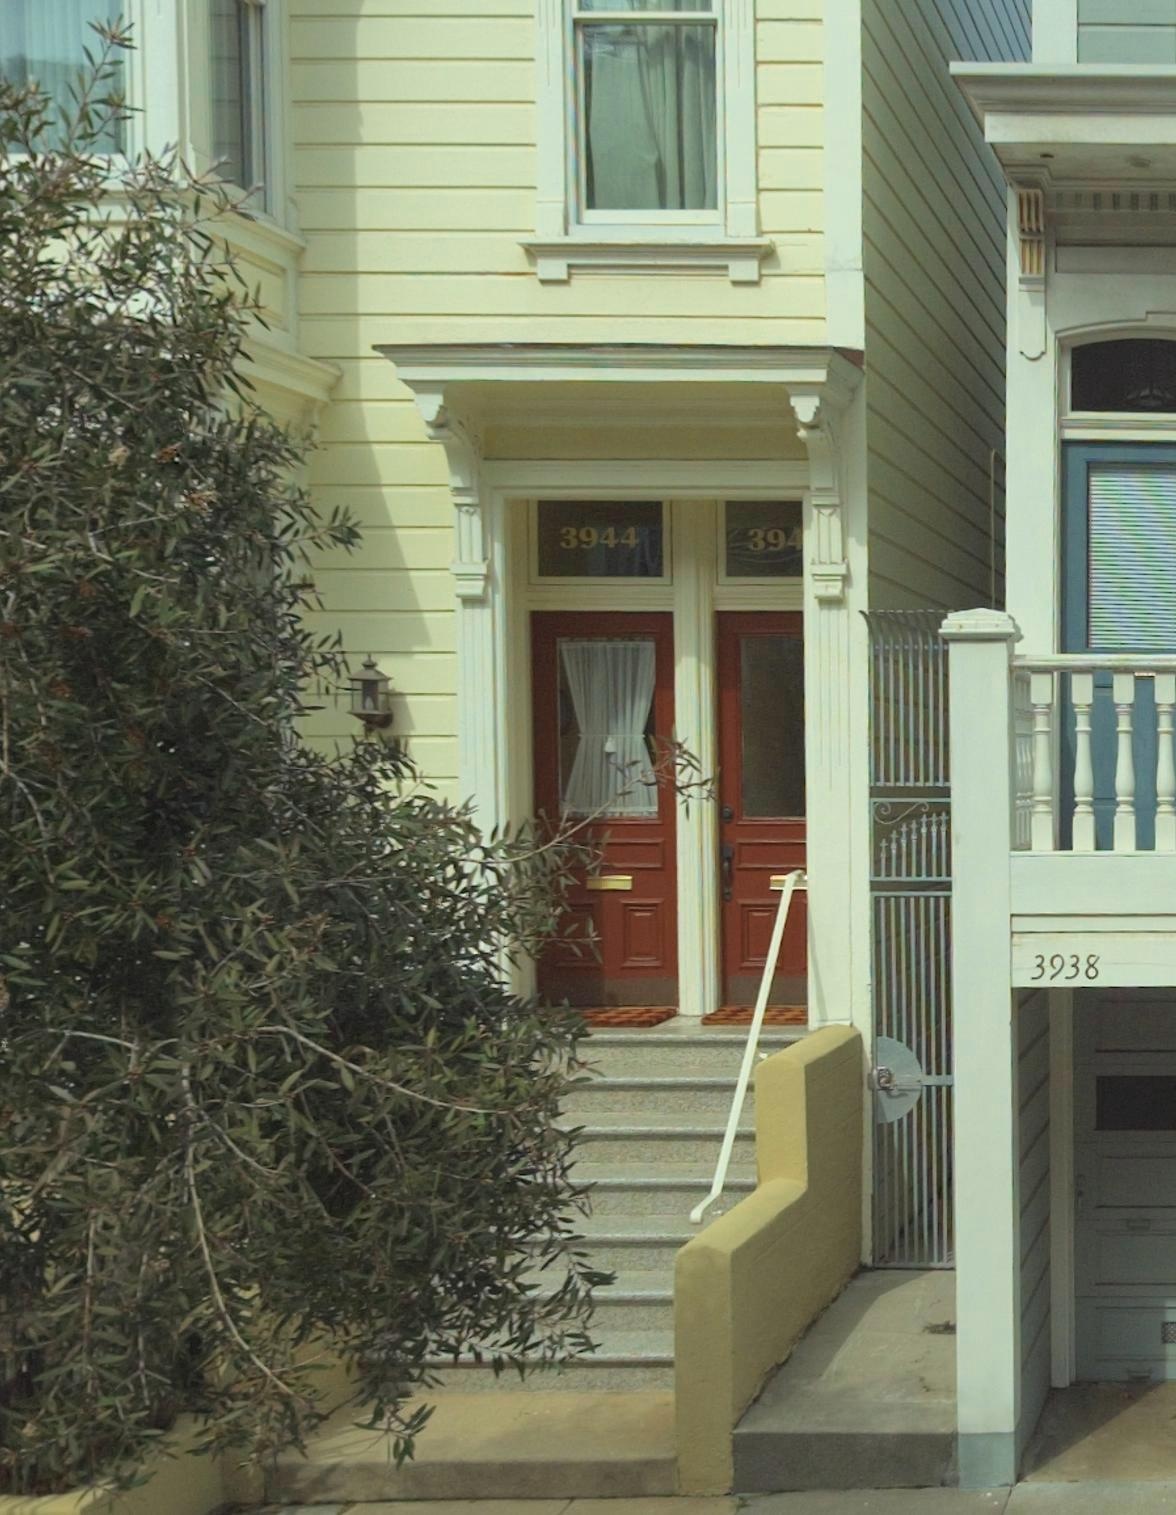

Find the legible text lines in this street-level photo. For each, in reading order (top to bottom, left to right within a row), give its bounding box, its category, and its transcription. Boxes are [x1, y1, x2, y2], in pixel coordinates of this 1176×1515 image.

[558, 525, 642, 551] StreetNumber: 394
[746, 527, 802, 551] StreetNumber: 3938
[1030, 952, 1101, 981] None: 3938